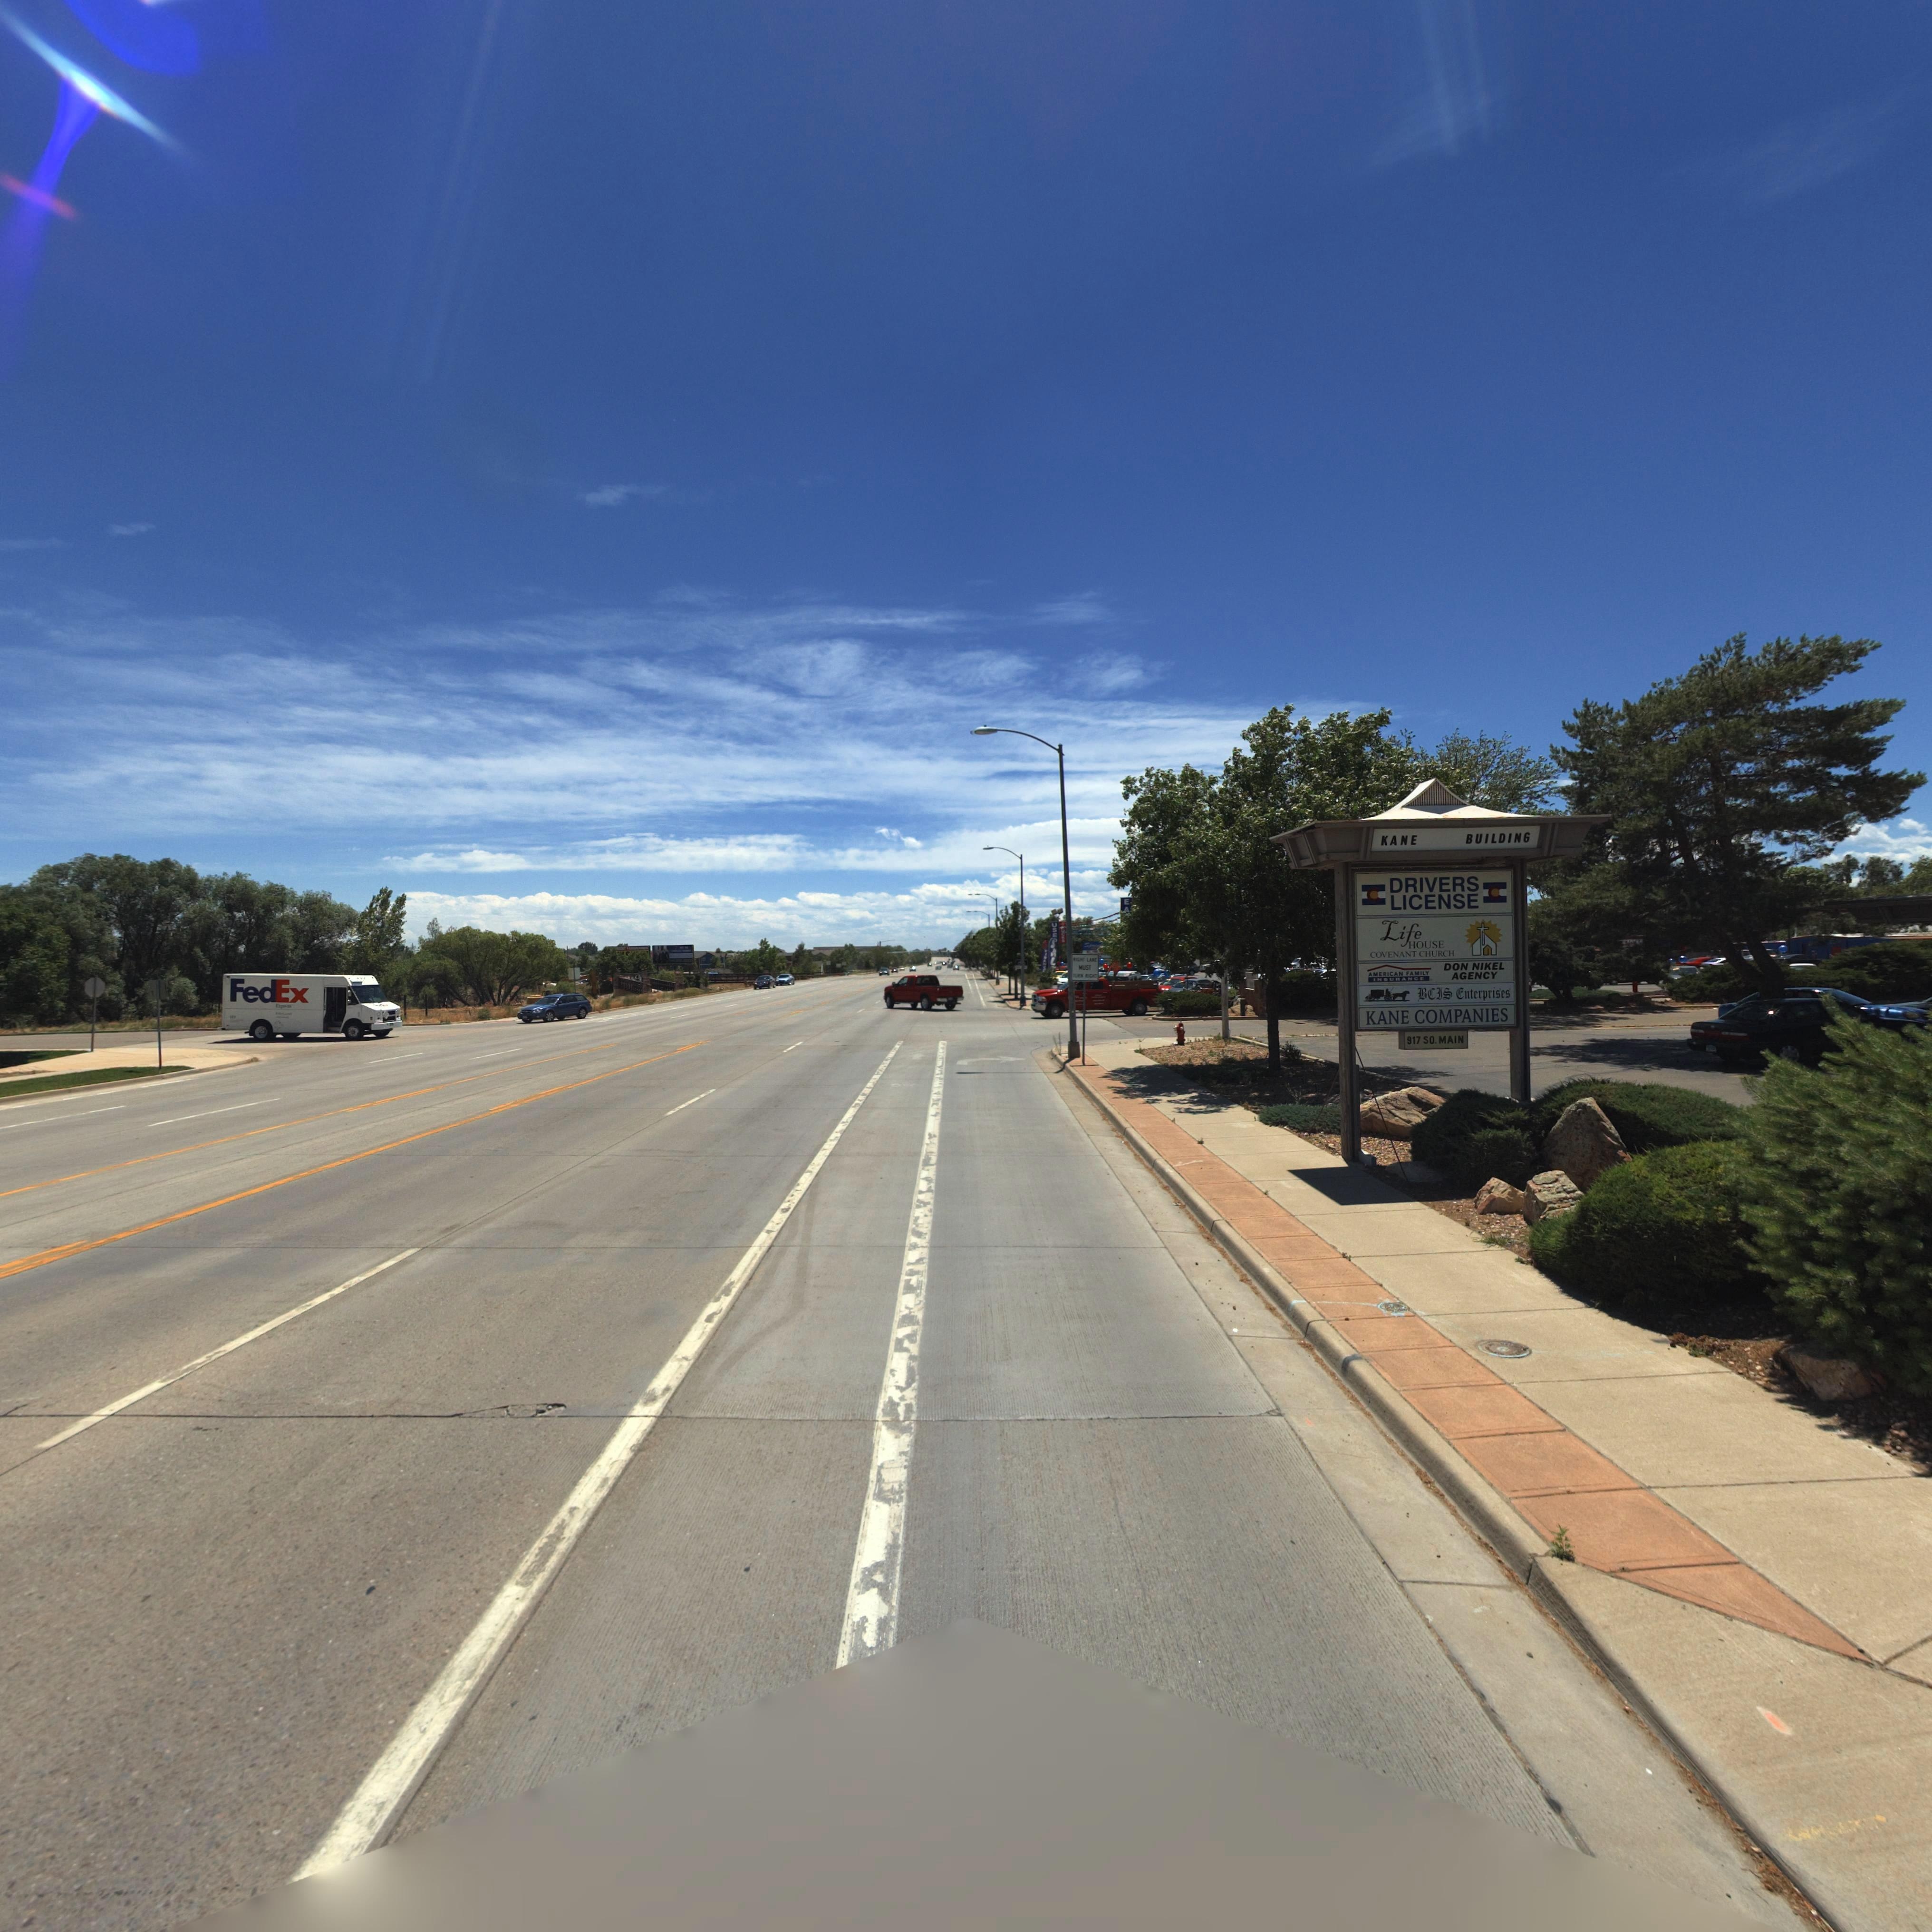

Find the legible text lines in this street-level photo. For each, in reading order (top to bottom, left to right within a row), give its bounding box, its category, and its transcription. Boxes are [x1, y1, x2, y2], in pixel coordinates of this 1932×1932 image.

[1380, 919, 1422, 948] BusinessName: Life
[1408, 938, 1445, 949] BusinessName: HOUSE
[1369, 949, 1455, 958] BusinessName: COVENANT CHURCH
[1443, 961, 1506, 971] BusinessName: DON NIKEL
[1372, 976, 1424, 982] BusinessName: INSURANCE
[1367, 969, 1430, 976] BusinessName: AMERICAN FAMILY
[1450, 971, 1499, 981] BusinessName: AGENCY
[1417, 985, 1511, 1002] BusinessName: BCIS Enterprises
[1365, 1007, 1509, 1025] BusinessName: KANE COMPANIES
[1406, 1035, 1421, 1045] StreetNumber: 917
[1422, 1034, 1464, 1044] StreetName: SO. MAIN